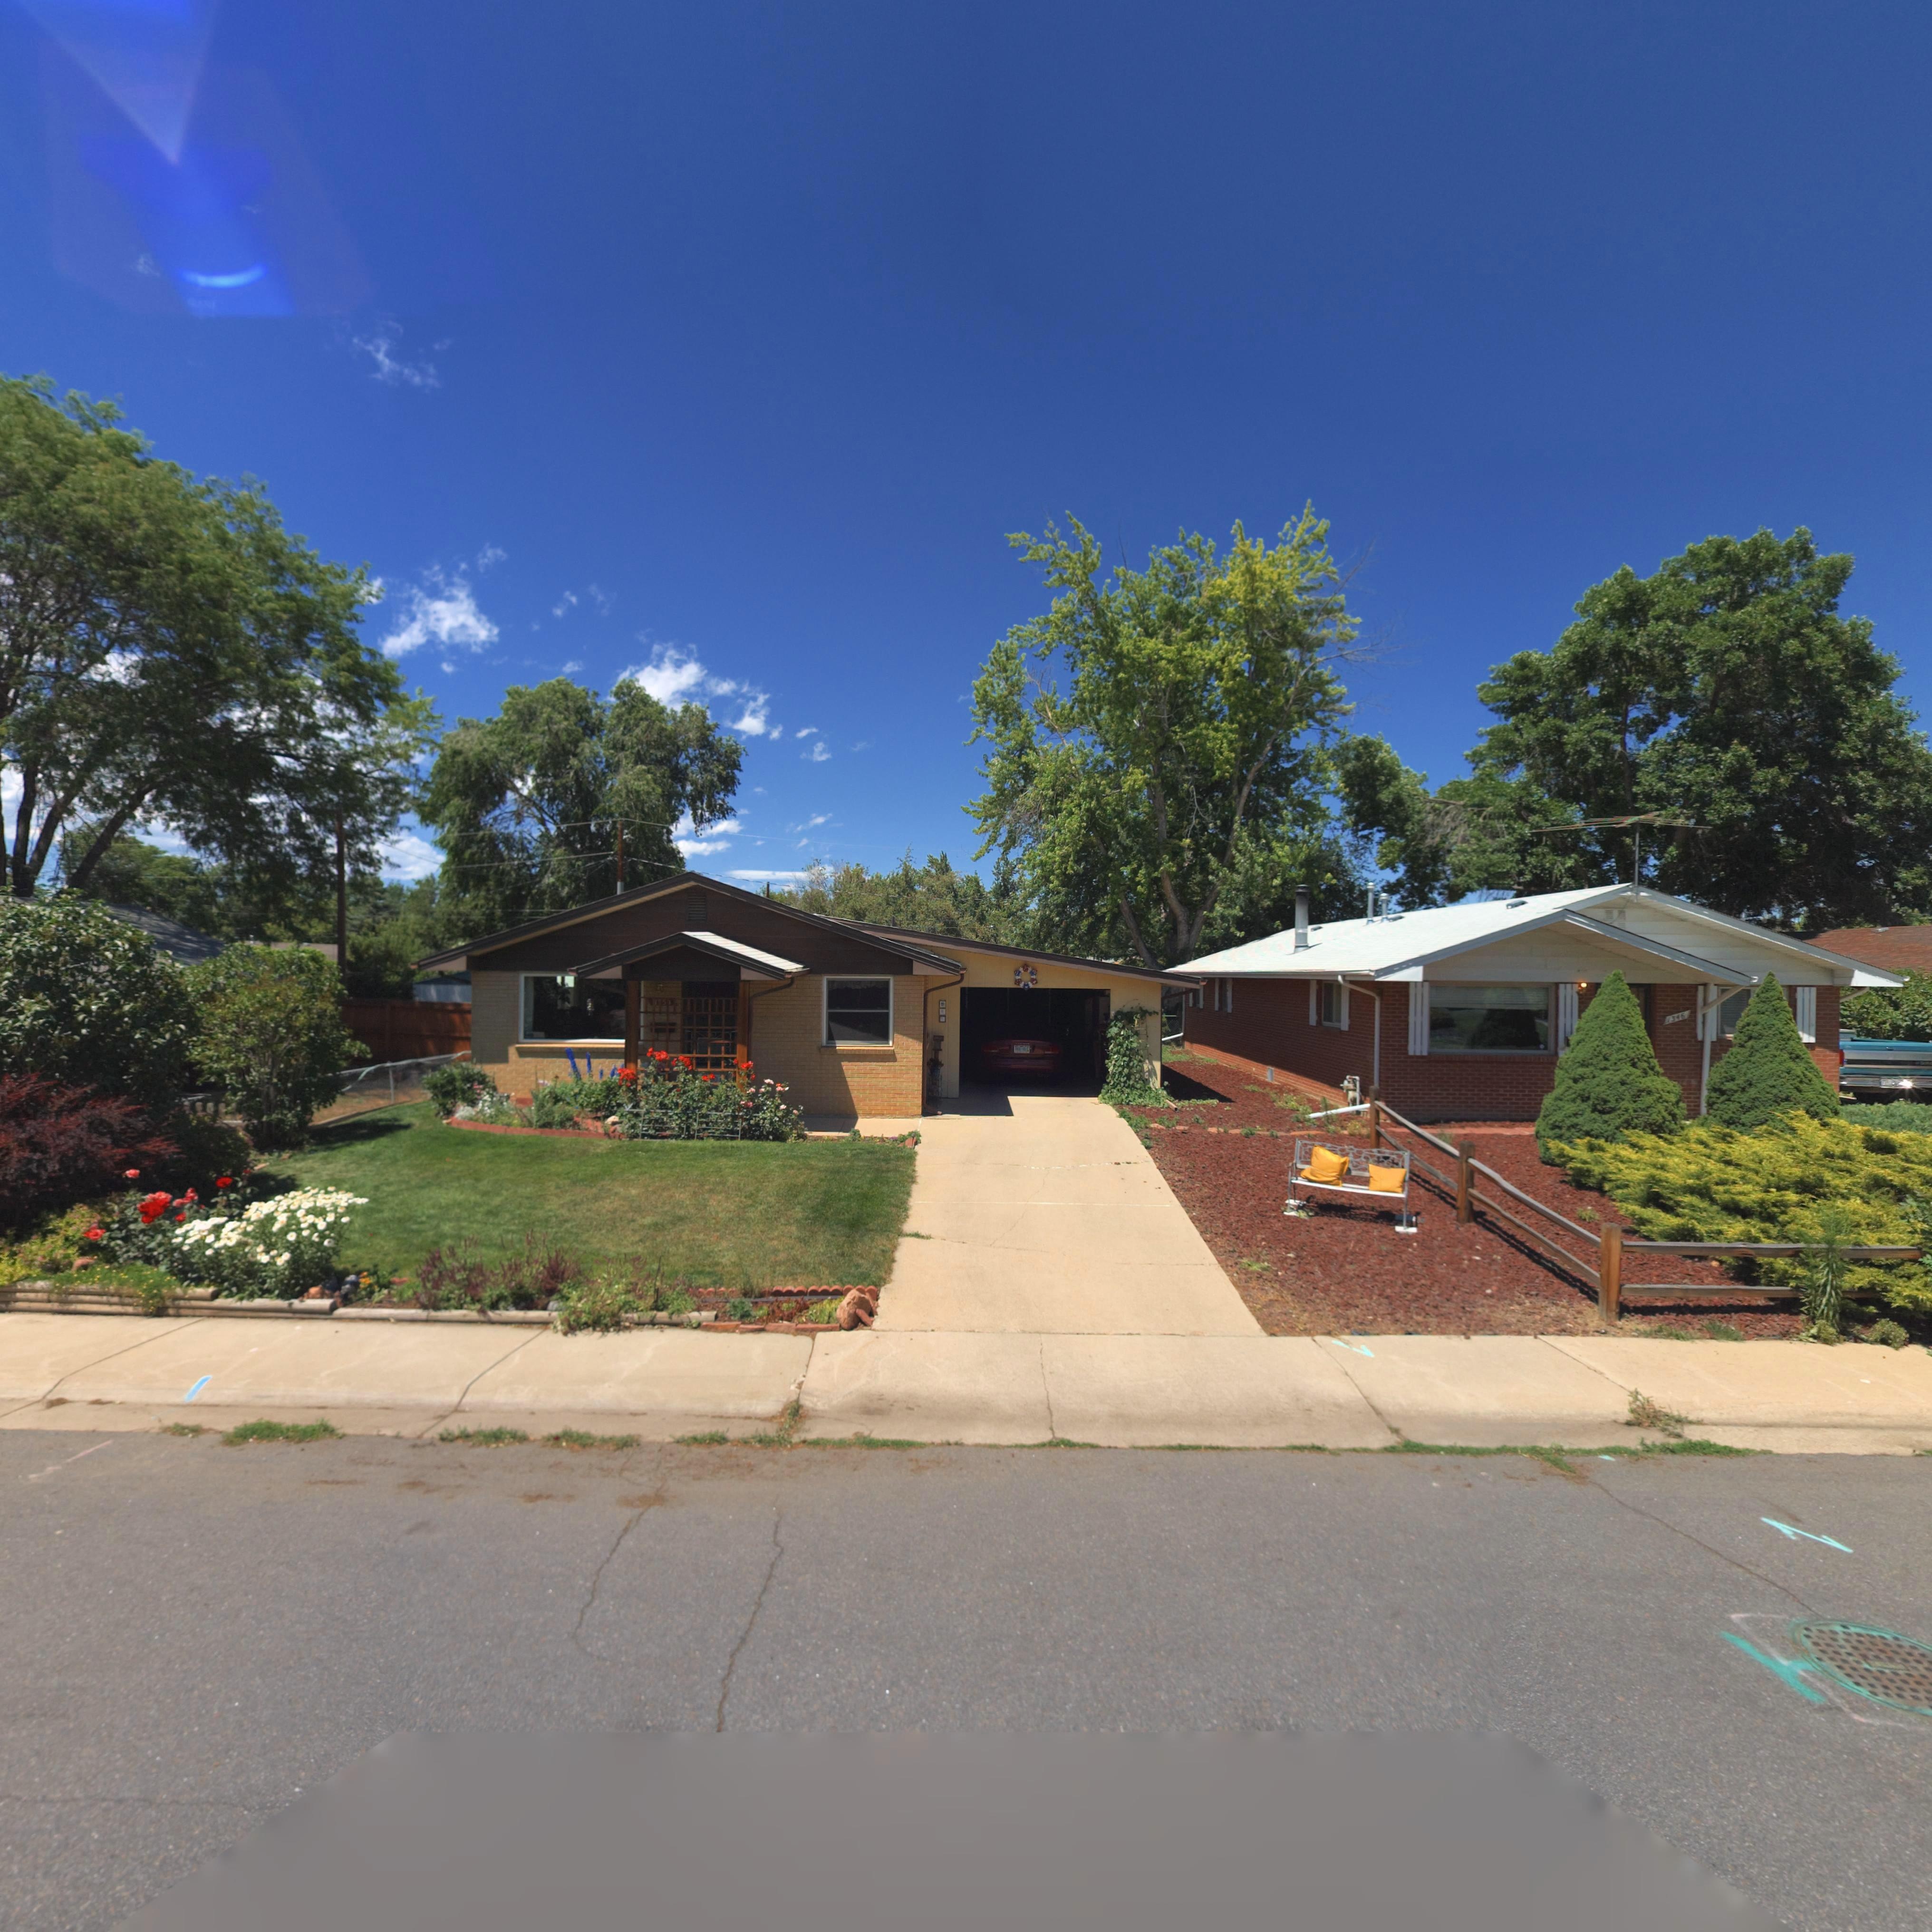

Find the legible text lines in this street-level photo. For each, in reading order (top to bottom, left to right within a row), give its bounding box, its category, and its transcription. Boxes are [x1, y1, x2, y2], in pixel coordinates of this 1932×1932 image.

[654, 998, 672, 1005] StreetNumber: 1*5*
[1667, 1012, 1685, 1024] StreetNumber: 1346